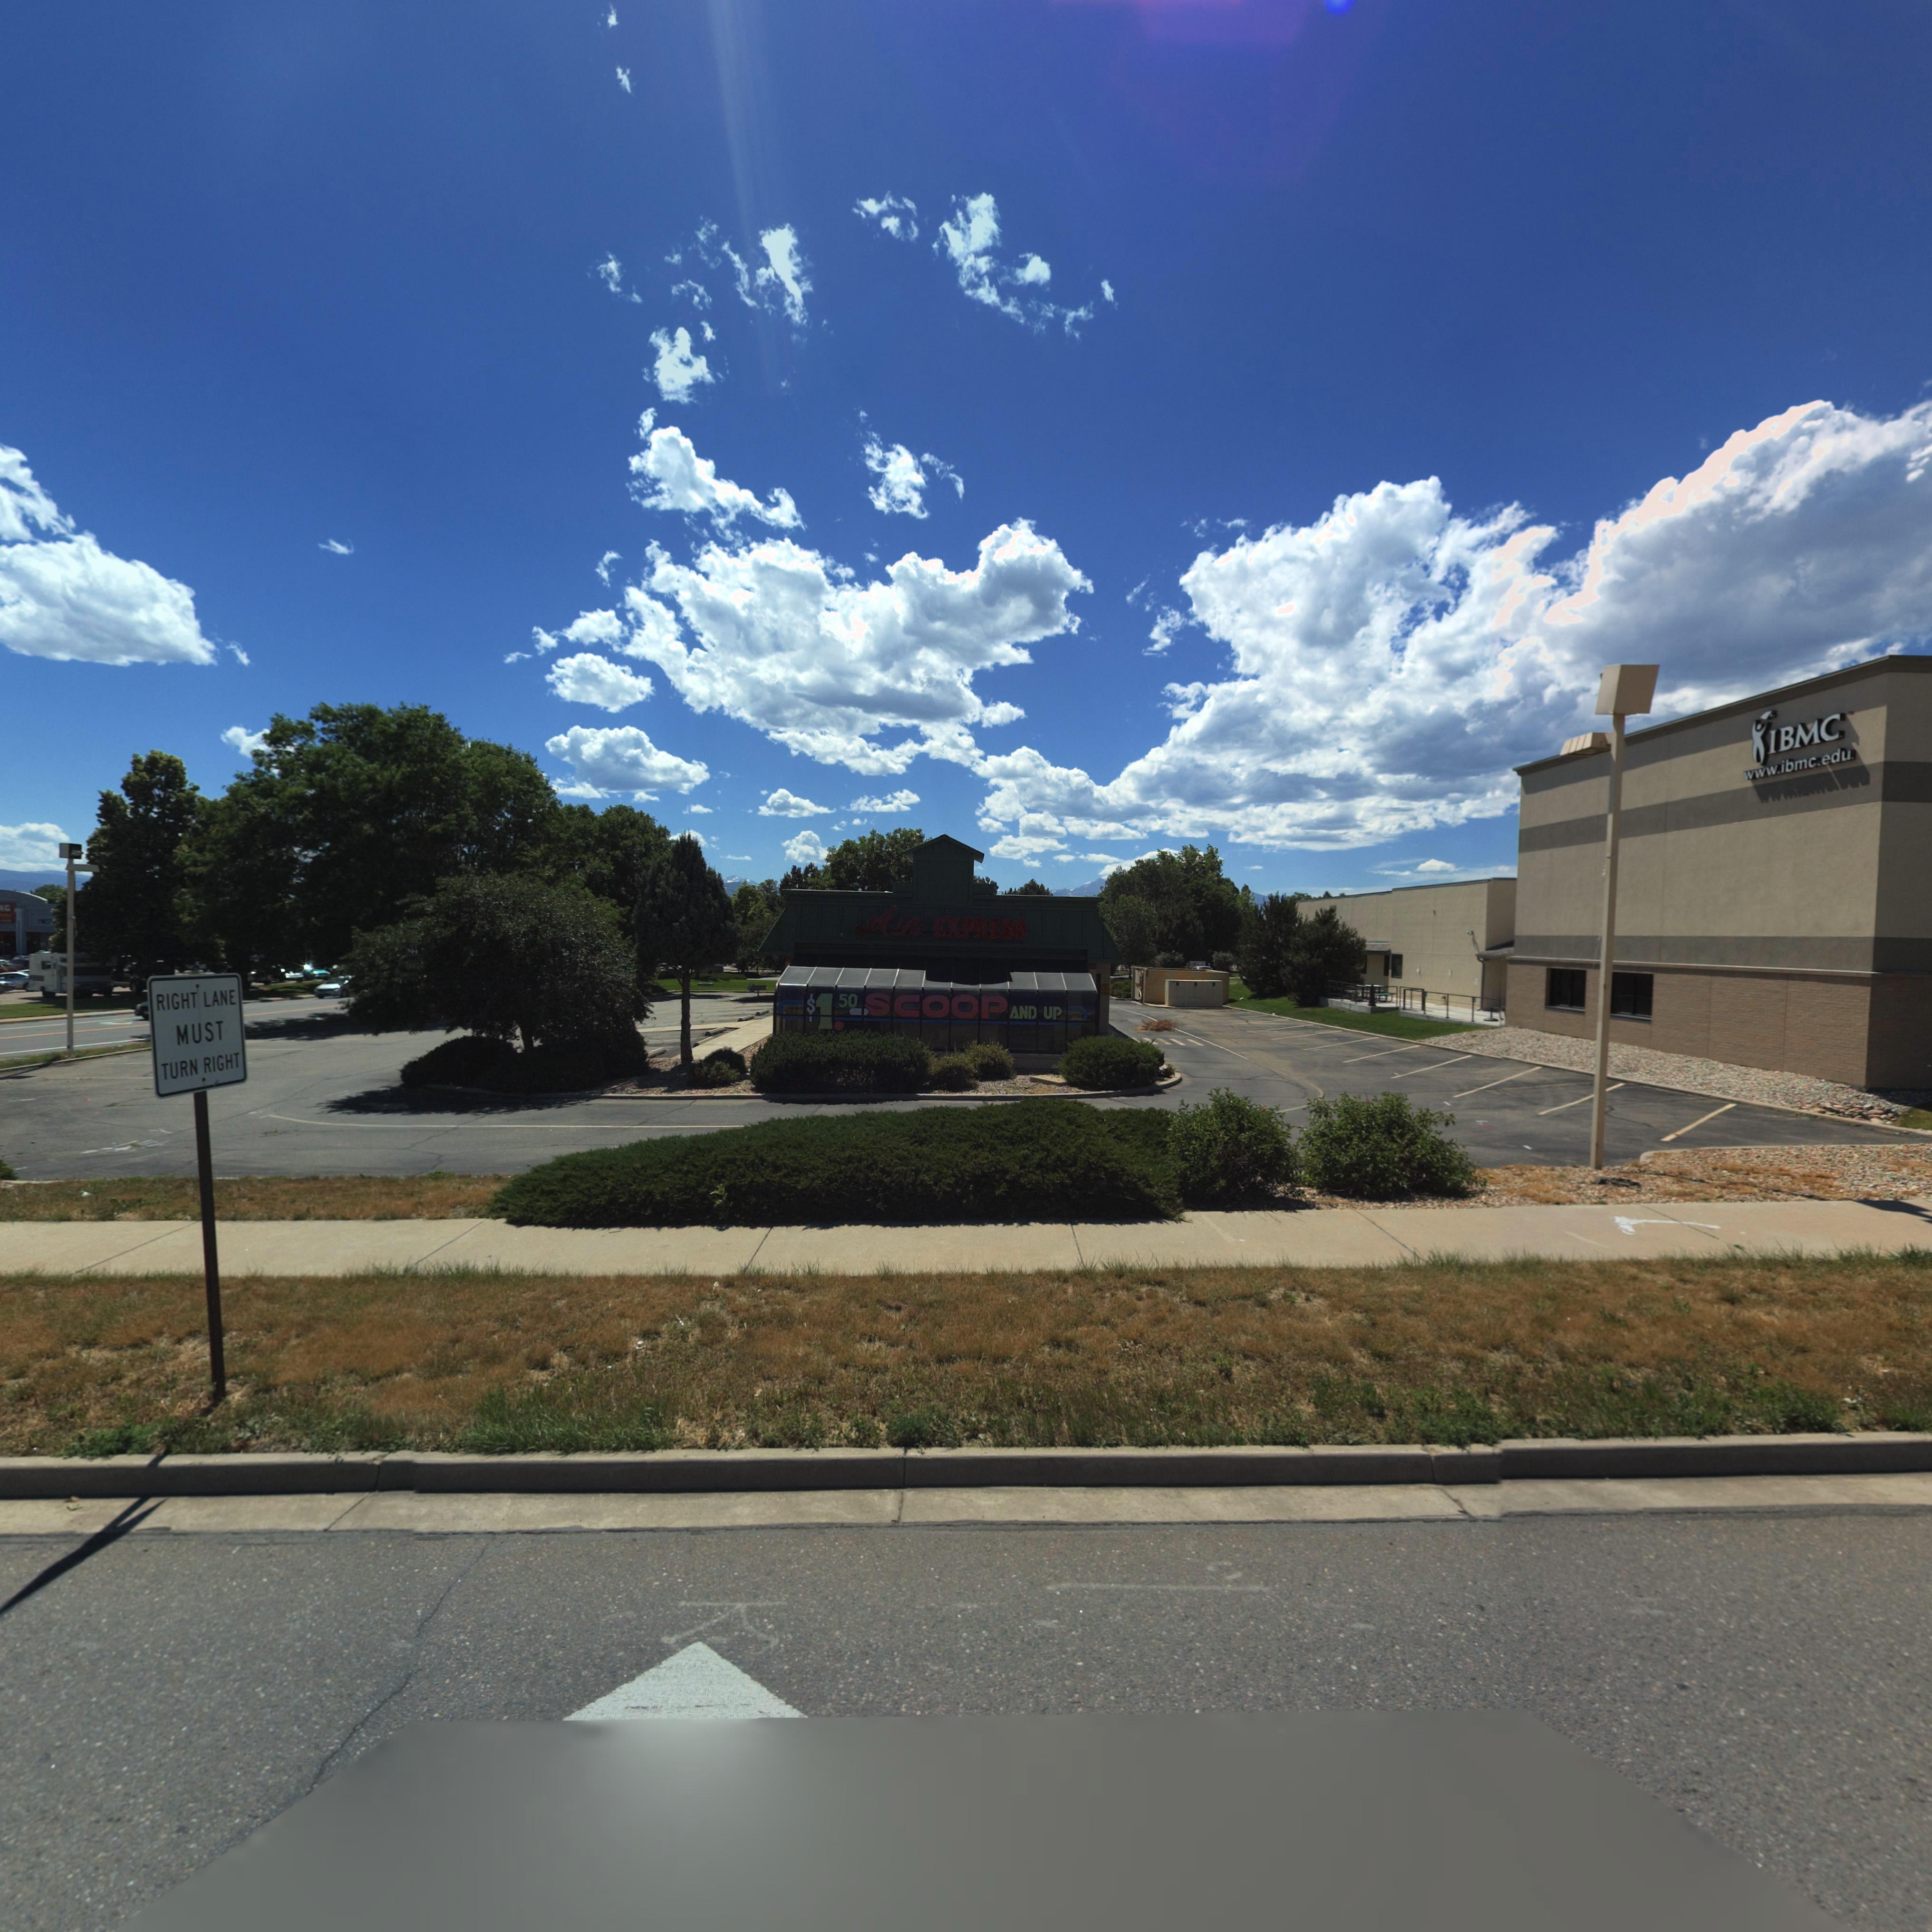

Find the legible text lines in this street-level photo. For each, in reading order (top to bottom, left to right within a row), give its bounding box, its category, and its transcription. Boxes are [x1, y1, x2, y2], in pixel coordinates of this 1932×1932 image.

[1767, 712, 1841, 755] BusinessName: IBMC
[853, 903, 1027, 941] BusinessName: A Li EXPRESS